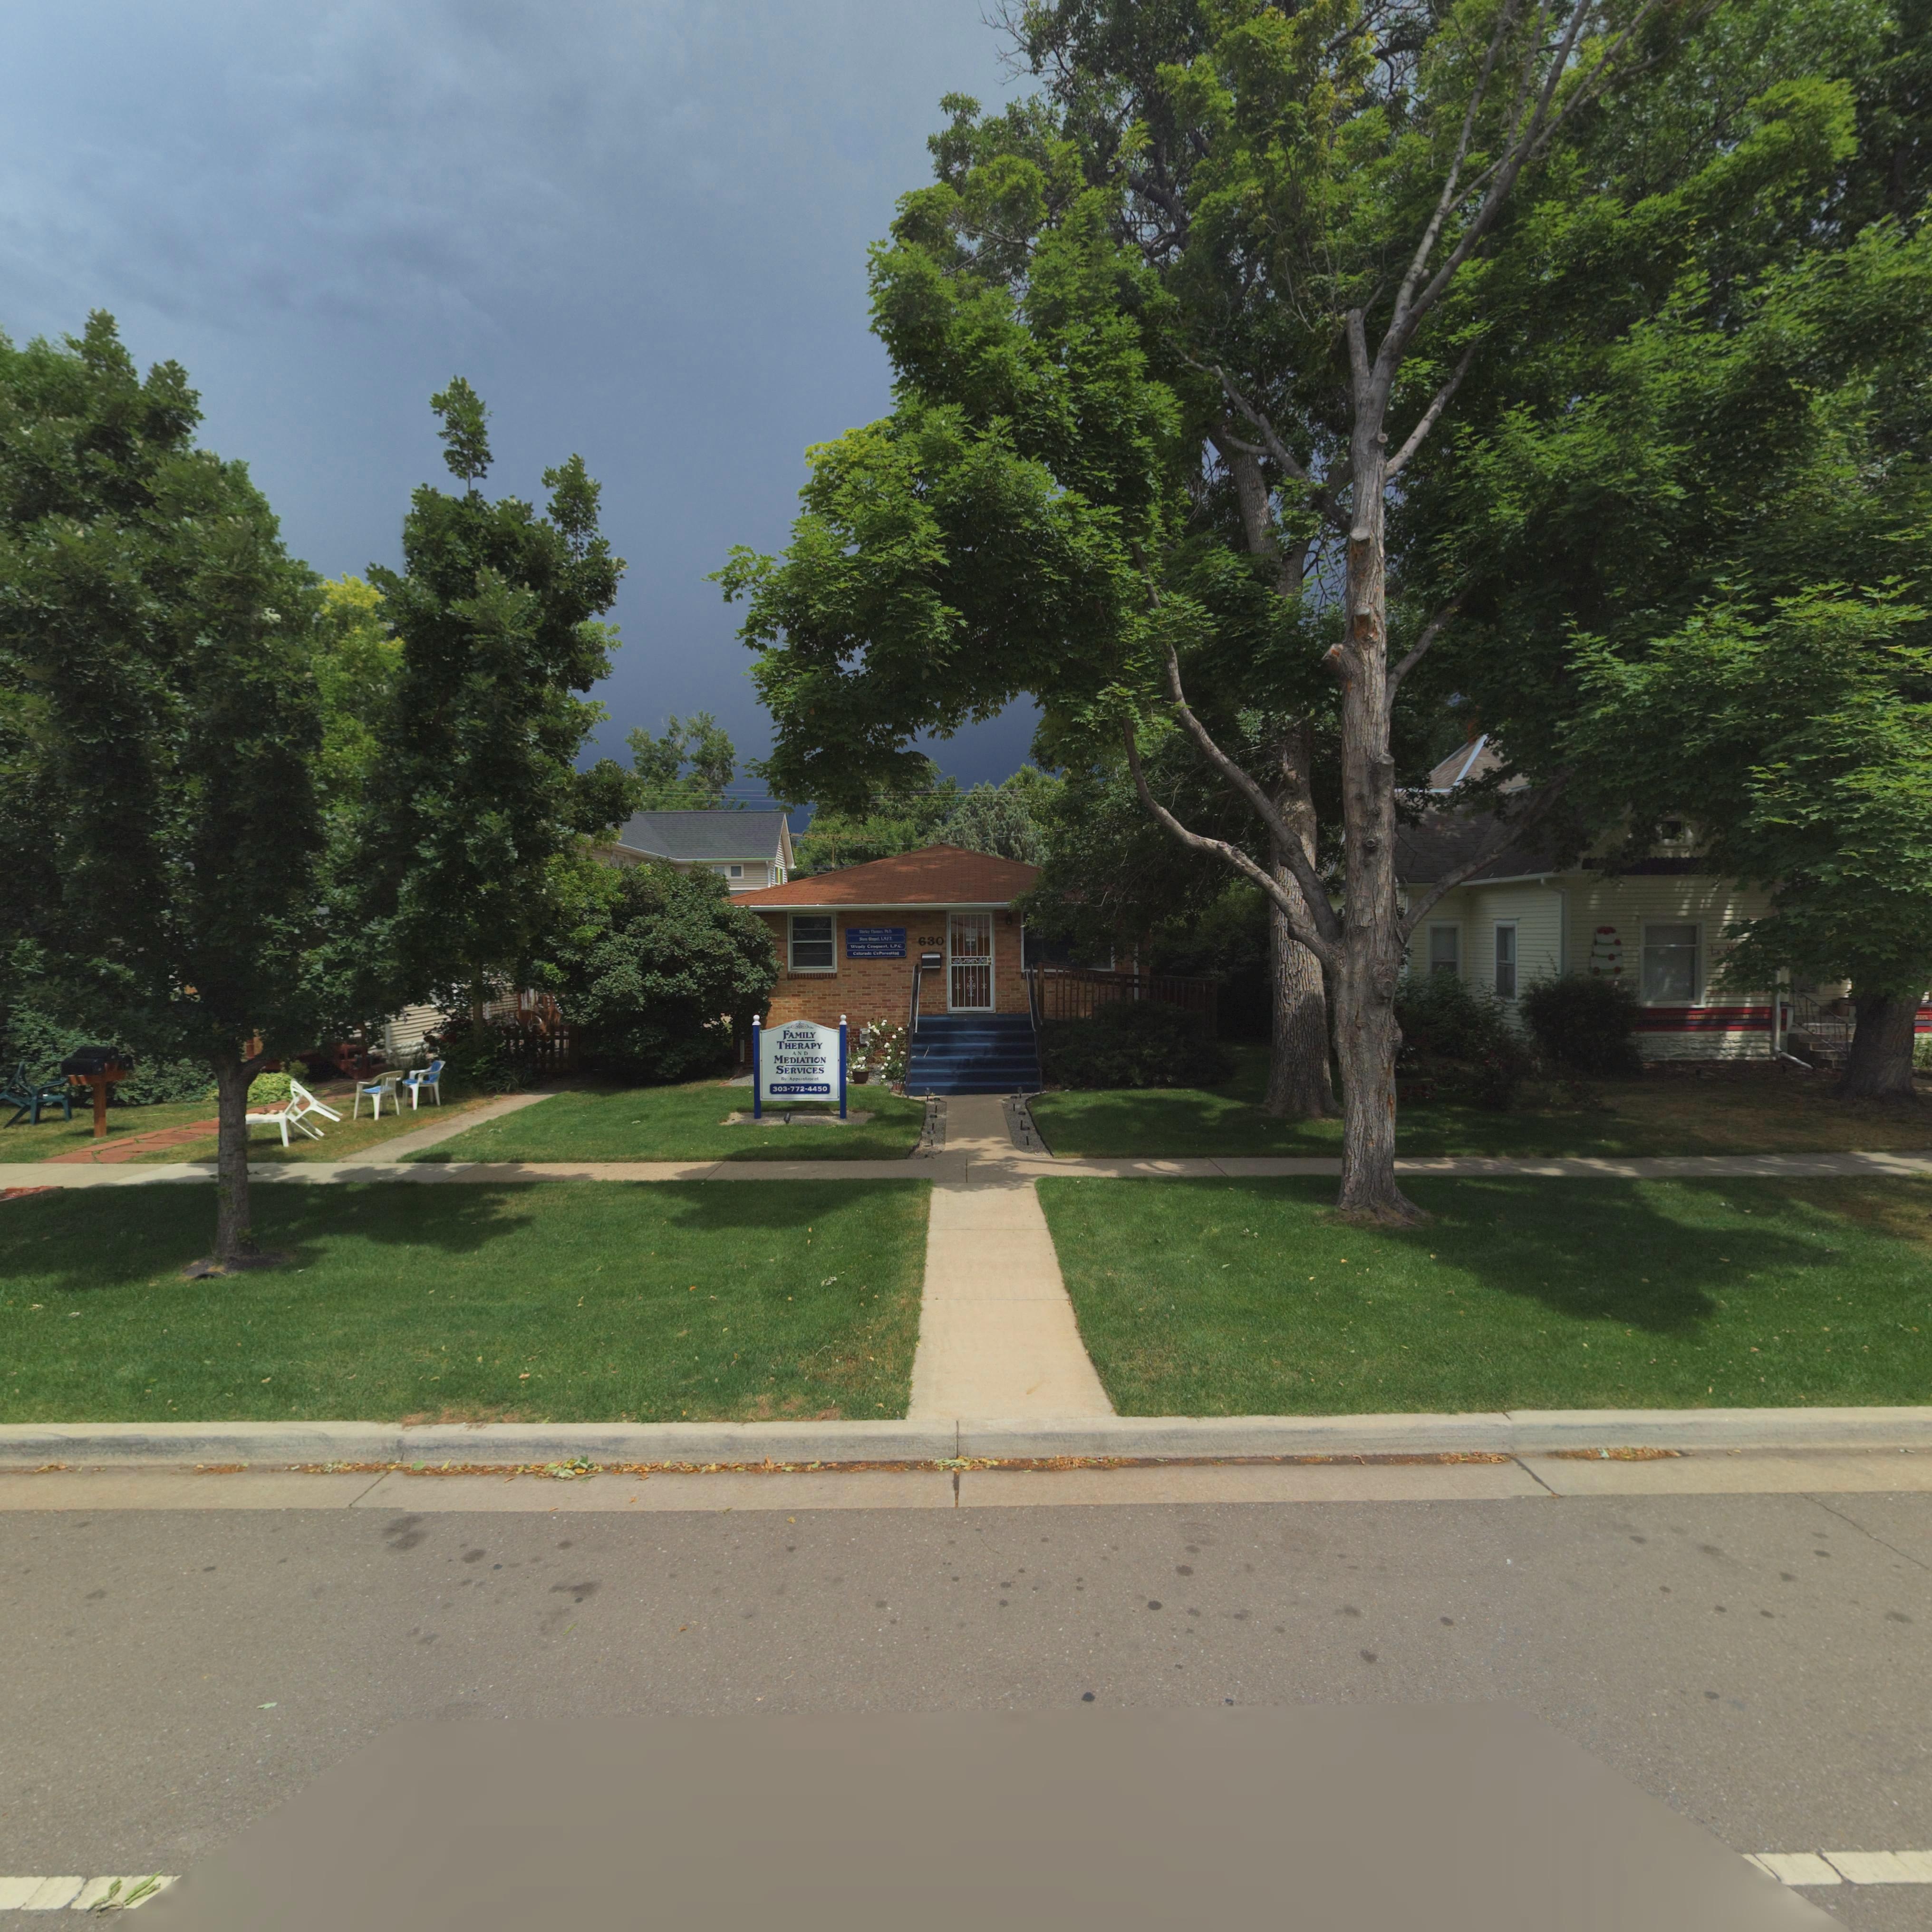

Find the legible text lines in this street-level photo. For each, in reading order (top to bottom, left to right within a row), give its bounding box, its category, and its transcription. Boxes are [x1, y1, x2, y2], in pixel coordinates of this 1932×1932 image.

[918, 936, 944, 946] StreetNumber: 630
[1710, 944, 1739, 956] BusinessName: La M
[782, 1030, 816, 1041] BusinessName: FAMILY
[776, 1040, 823, 1049] BusinessName: THERAPY
[792, 1051, 808, 1055] BusinessName: AND
[773, 1054, 826, 1063] BusinessName: MEDIATION
[775, 1065, 824, 1074] BusinessName: SERVICES